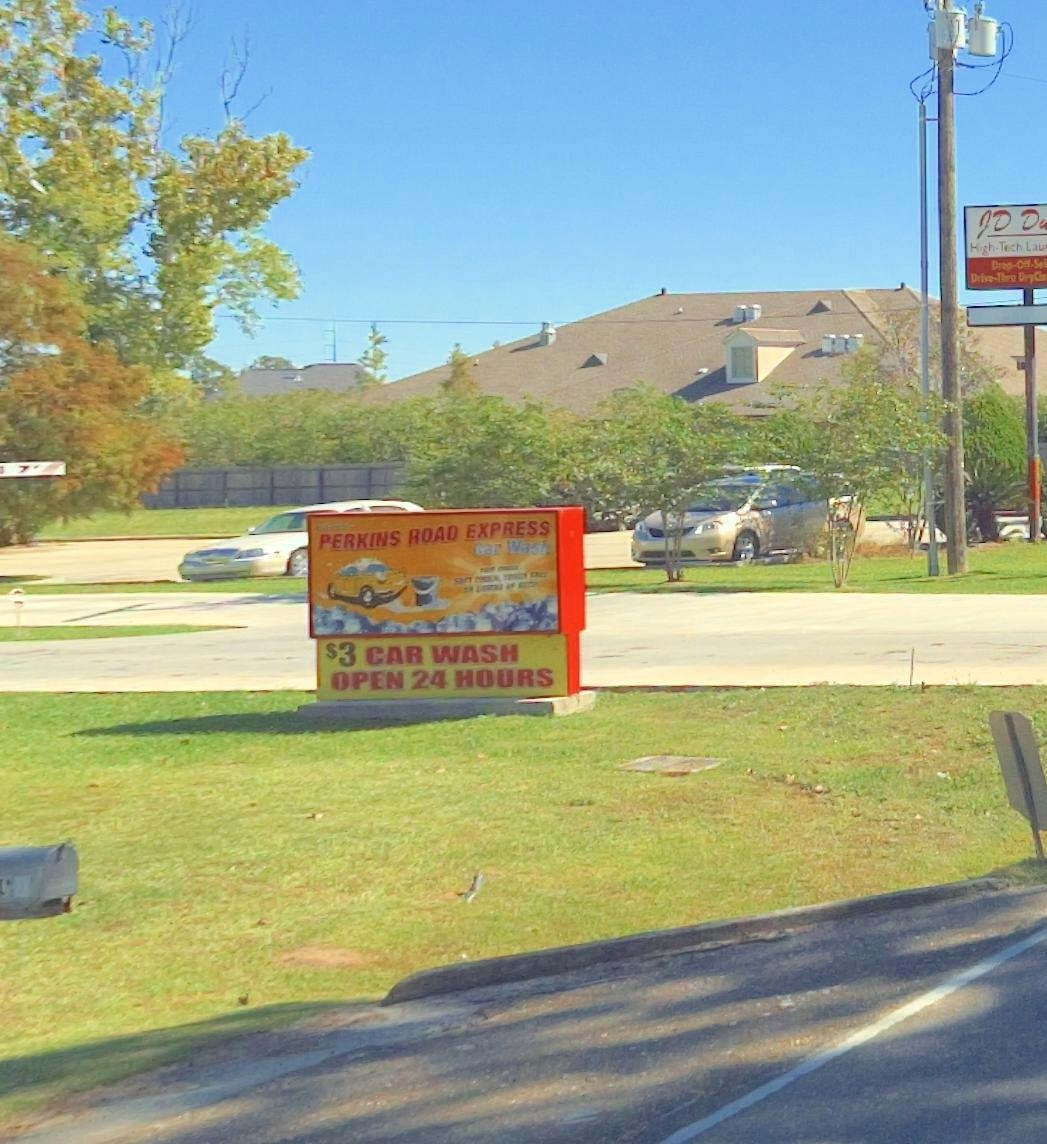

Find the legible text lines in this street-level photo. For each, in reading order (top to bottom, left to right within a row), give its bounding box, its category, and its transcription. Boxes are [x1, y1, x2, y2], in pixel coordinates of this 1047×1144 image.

[975, 208, 1040, 239] BusinessName: JD D
[969, 240, 1045, 257] None: High-Tech Lau
[990, 258, 1046, 270] None: Drop-Off-Sel
[970, 270, 1043, 285] None: Drive-Thru Dry Cl
[317, 519, 553, 552] BusinessName: PERKINS ROAD EXPRESS
[472, 538, 552, 558] BusinessName: Car Wash
[338, 640, 519, 667] None: 3 CAR WASH
[329, 667, 554, 693] None: OPEN 24 HOURS